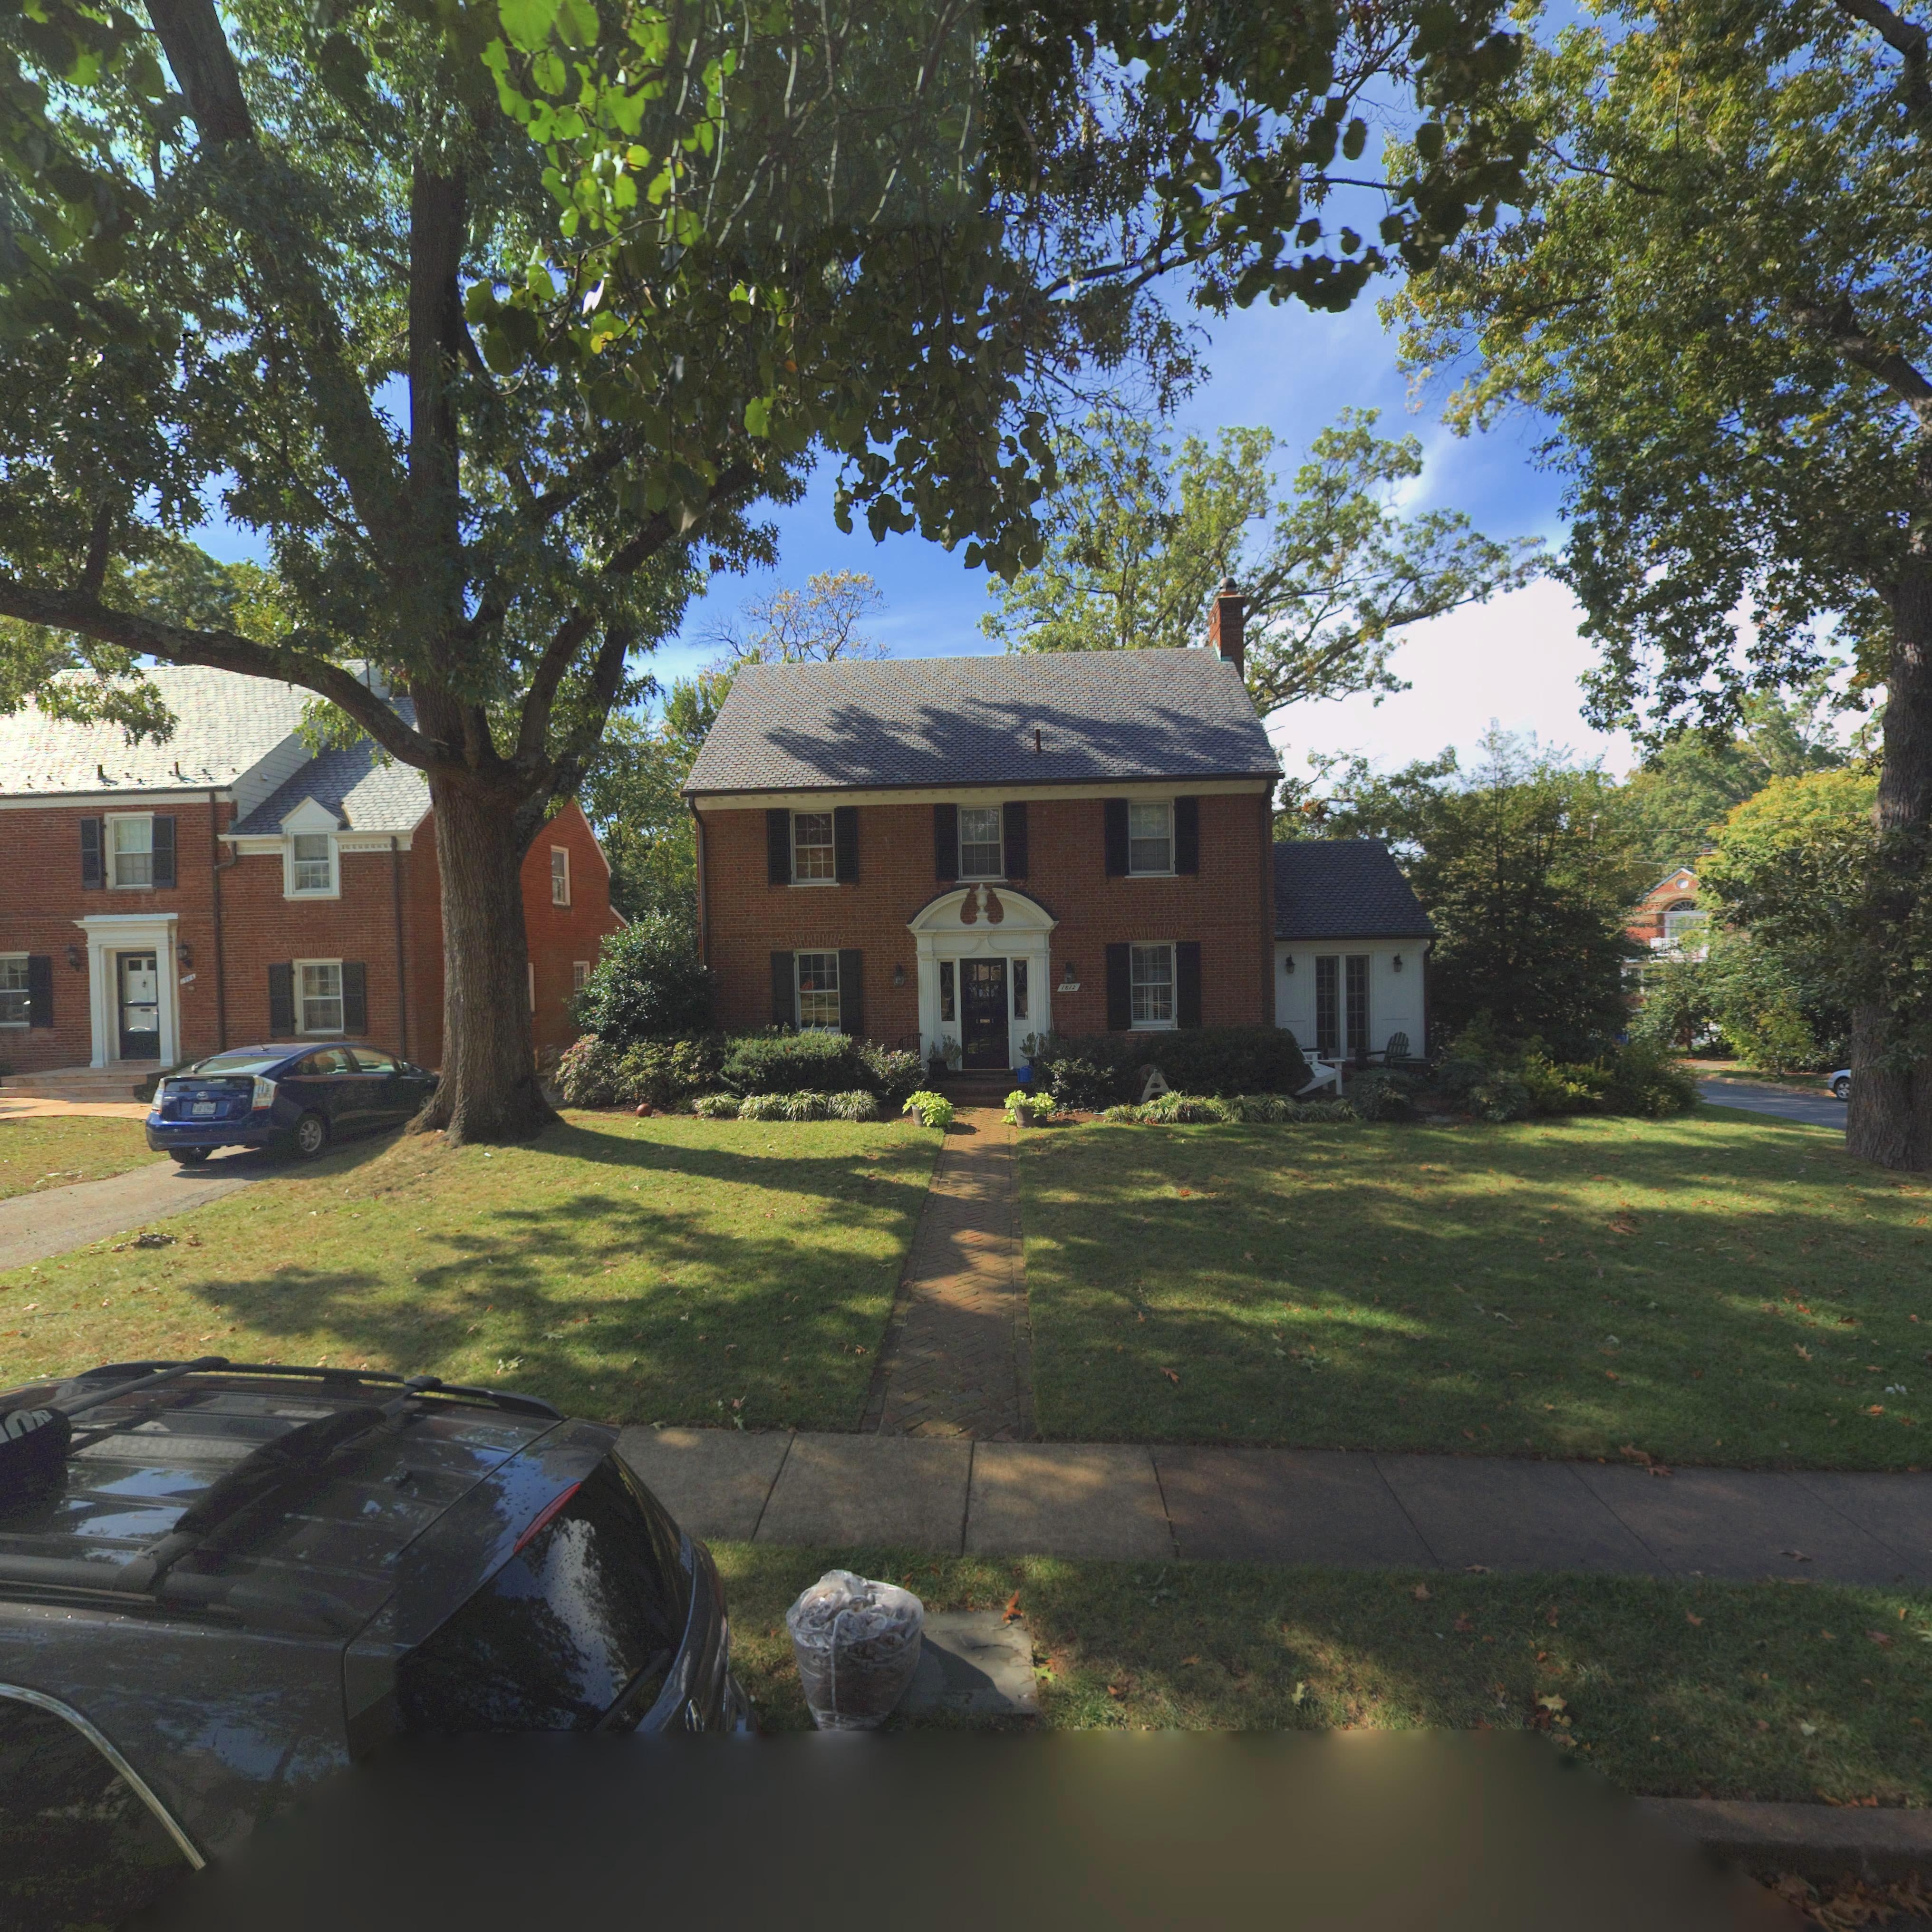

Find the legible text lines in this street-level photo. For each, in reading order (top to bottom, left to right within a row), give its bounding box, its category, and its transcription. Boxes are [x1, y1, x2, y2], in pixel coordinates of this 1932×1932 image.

[1060, 984, 1077, 991] StreetNumber: 1812